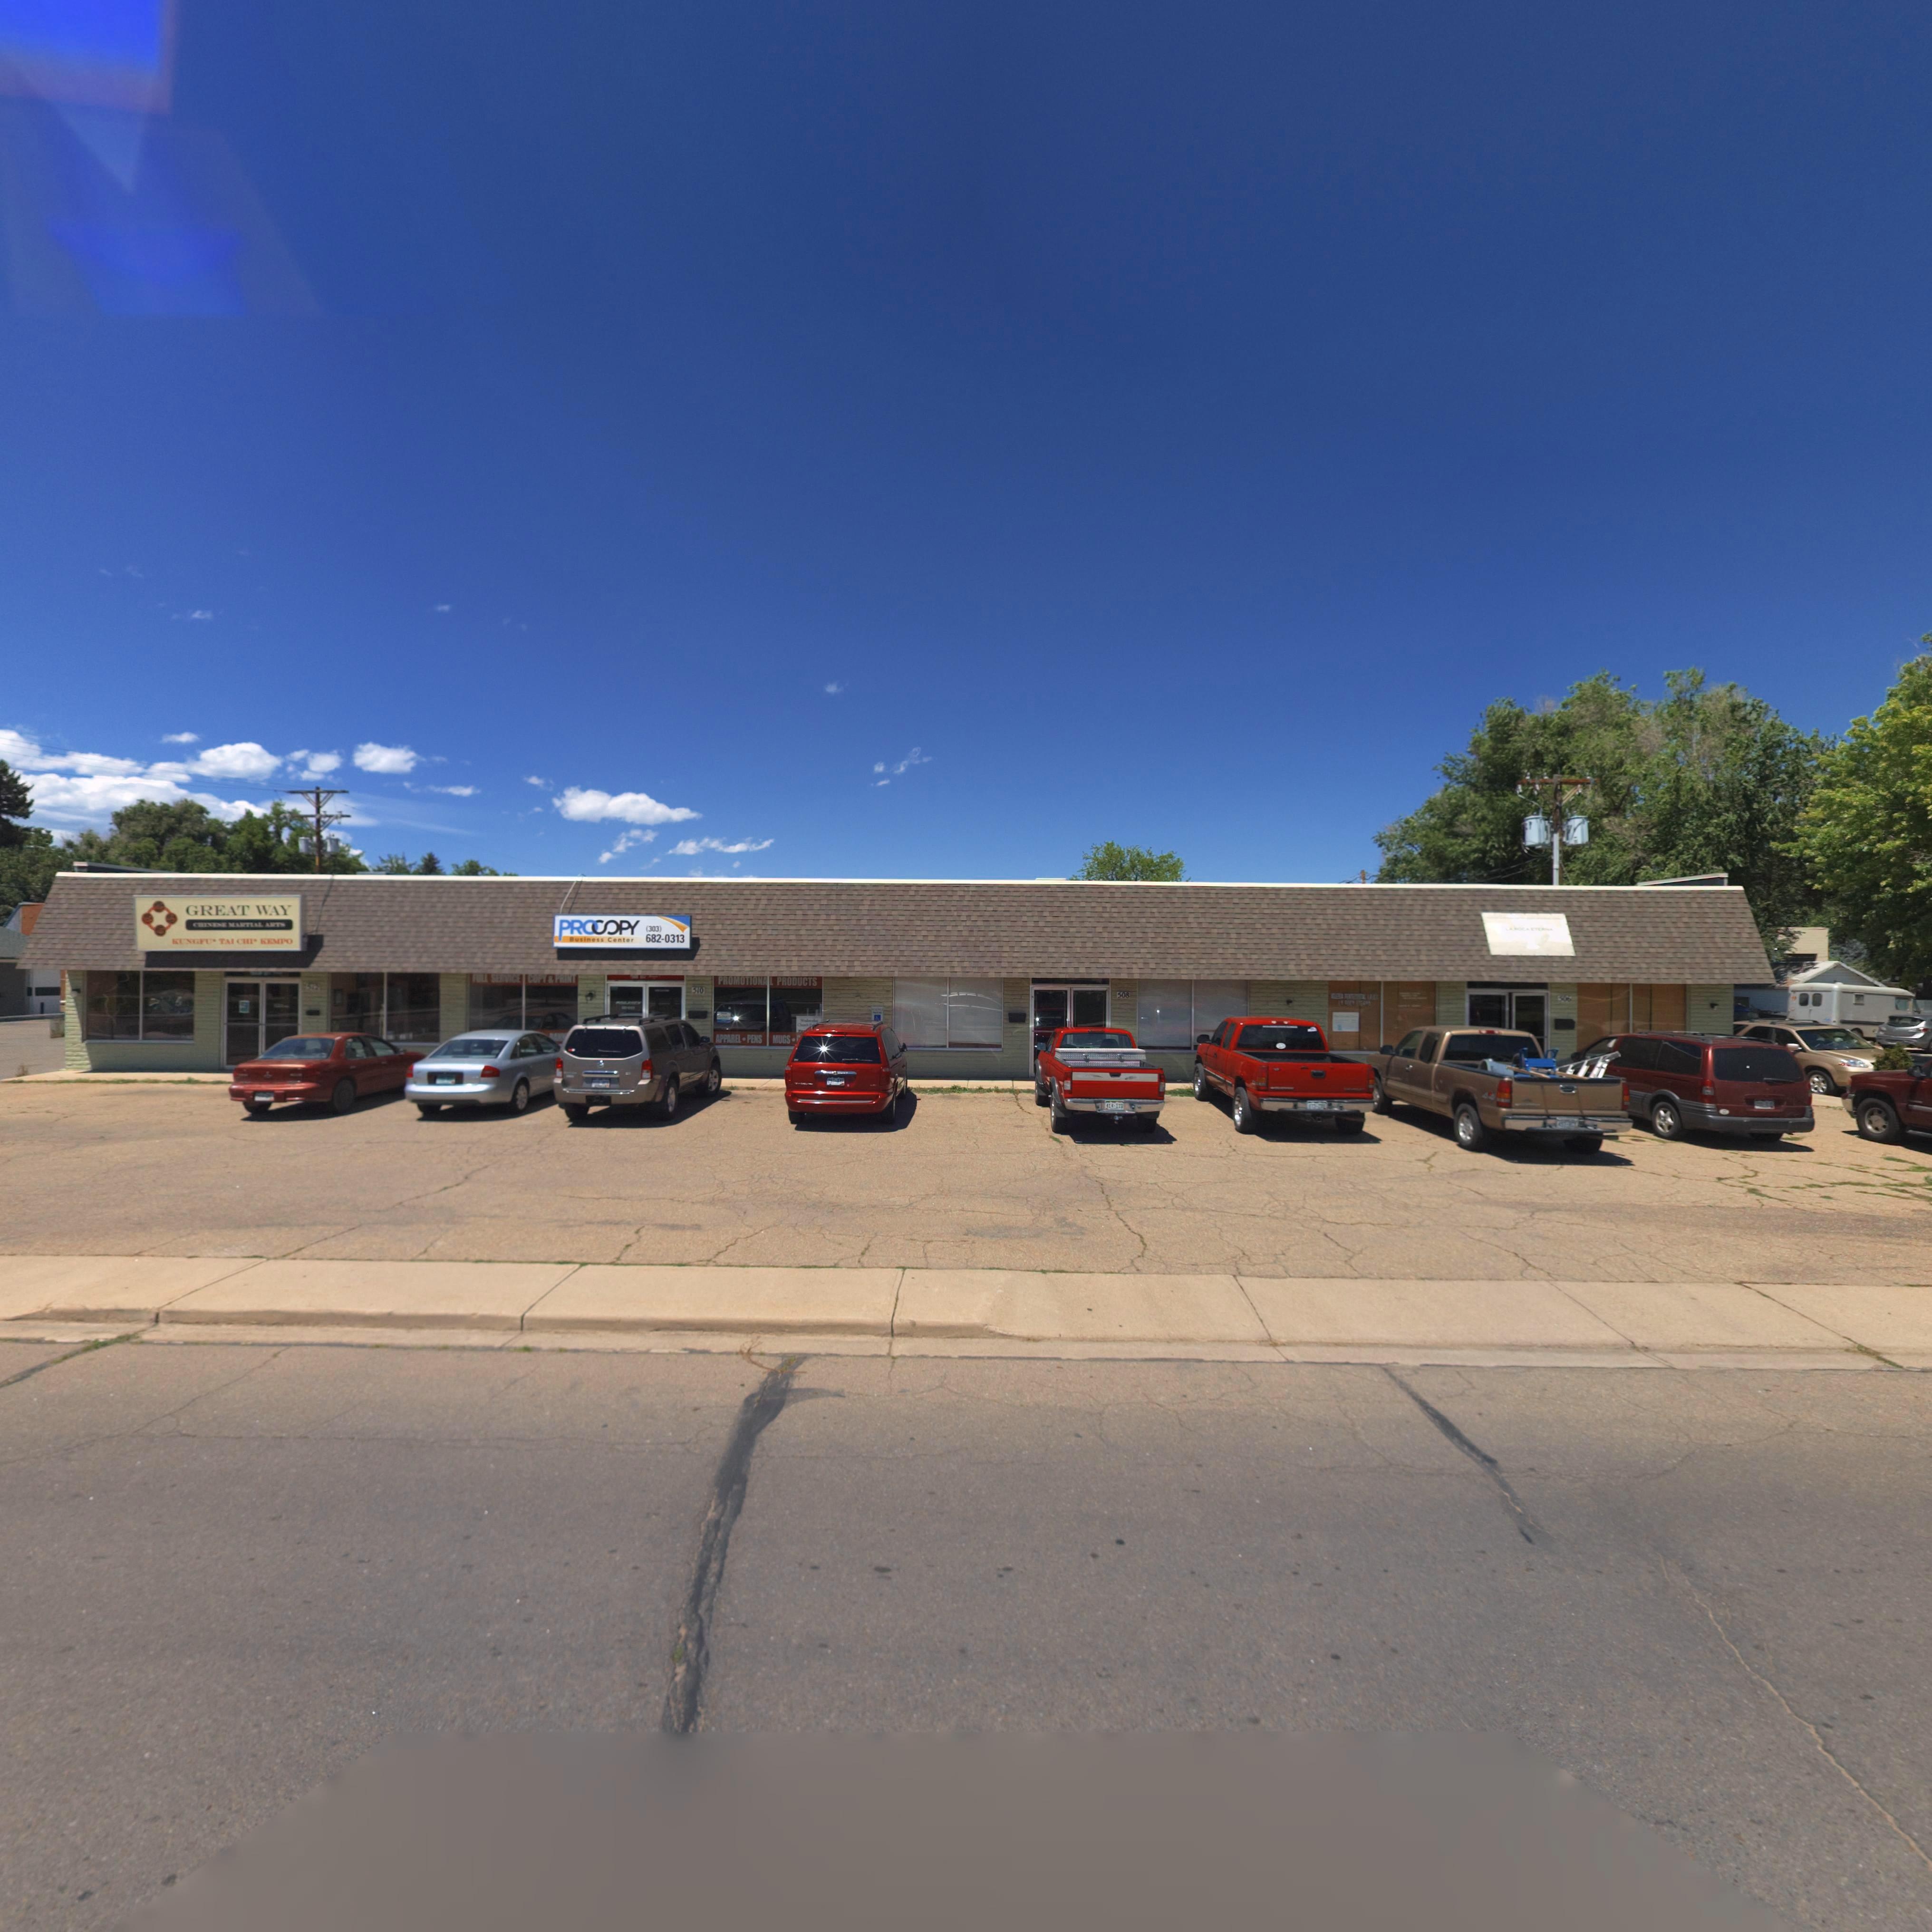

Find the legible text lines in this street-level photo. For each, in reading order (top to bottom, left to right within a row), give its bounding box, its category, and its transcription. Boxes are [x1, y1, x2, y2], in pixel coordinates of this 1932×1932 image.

[184, 904, 292, 916] BusinessName: GREAT WAY
[193, 922, 286, 928] BusinessName: CHI**** MARTIAL ARTS
[558, 918, 641, 942] BusinessName: PR**OPY
[1505, 927, 1554, 931] BusinessName: LA *OCA ****NA
[569, 936, 635, 943] BusinessName: Business Center
[306, 984, 319, 990] StreetNumber: 512
[692, 986, 704, 994] StreetNumber: 510
[1117, 992, 1130, 998] StreetNumber: 508
[1558, 995, 1572, 1002] StreetNumber: 506